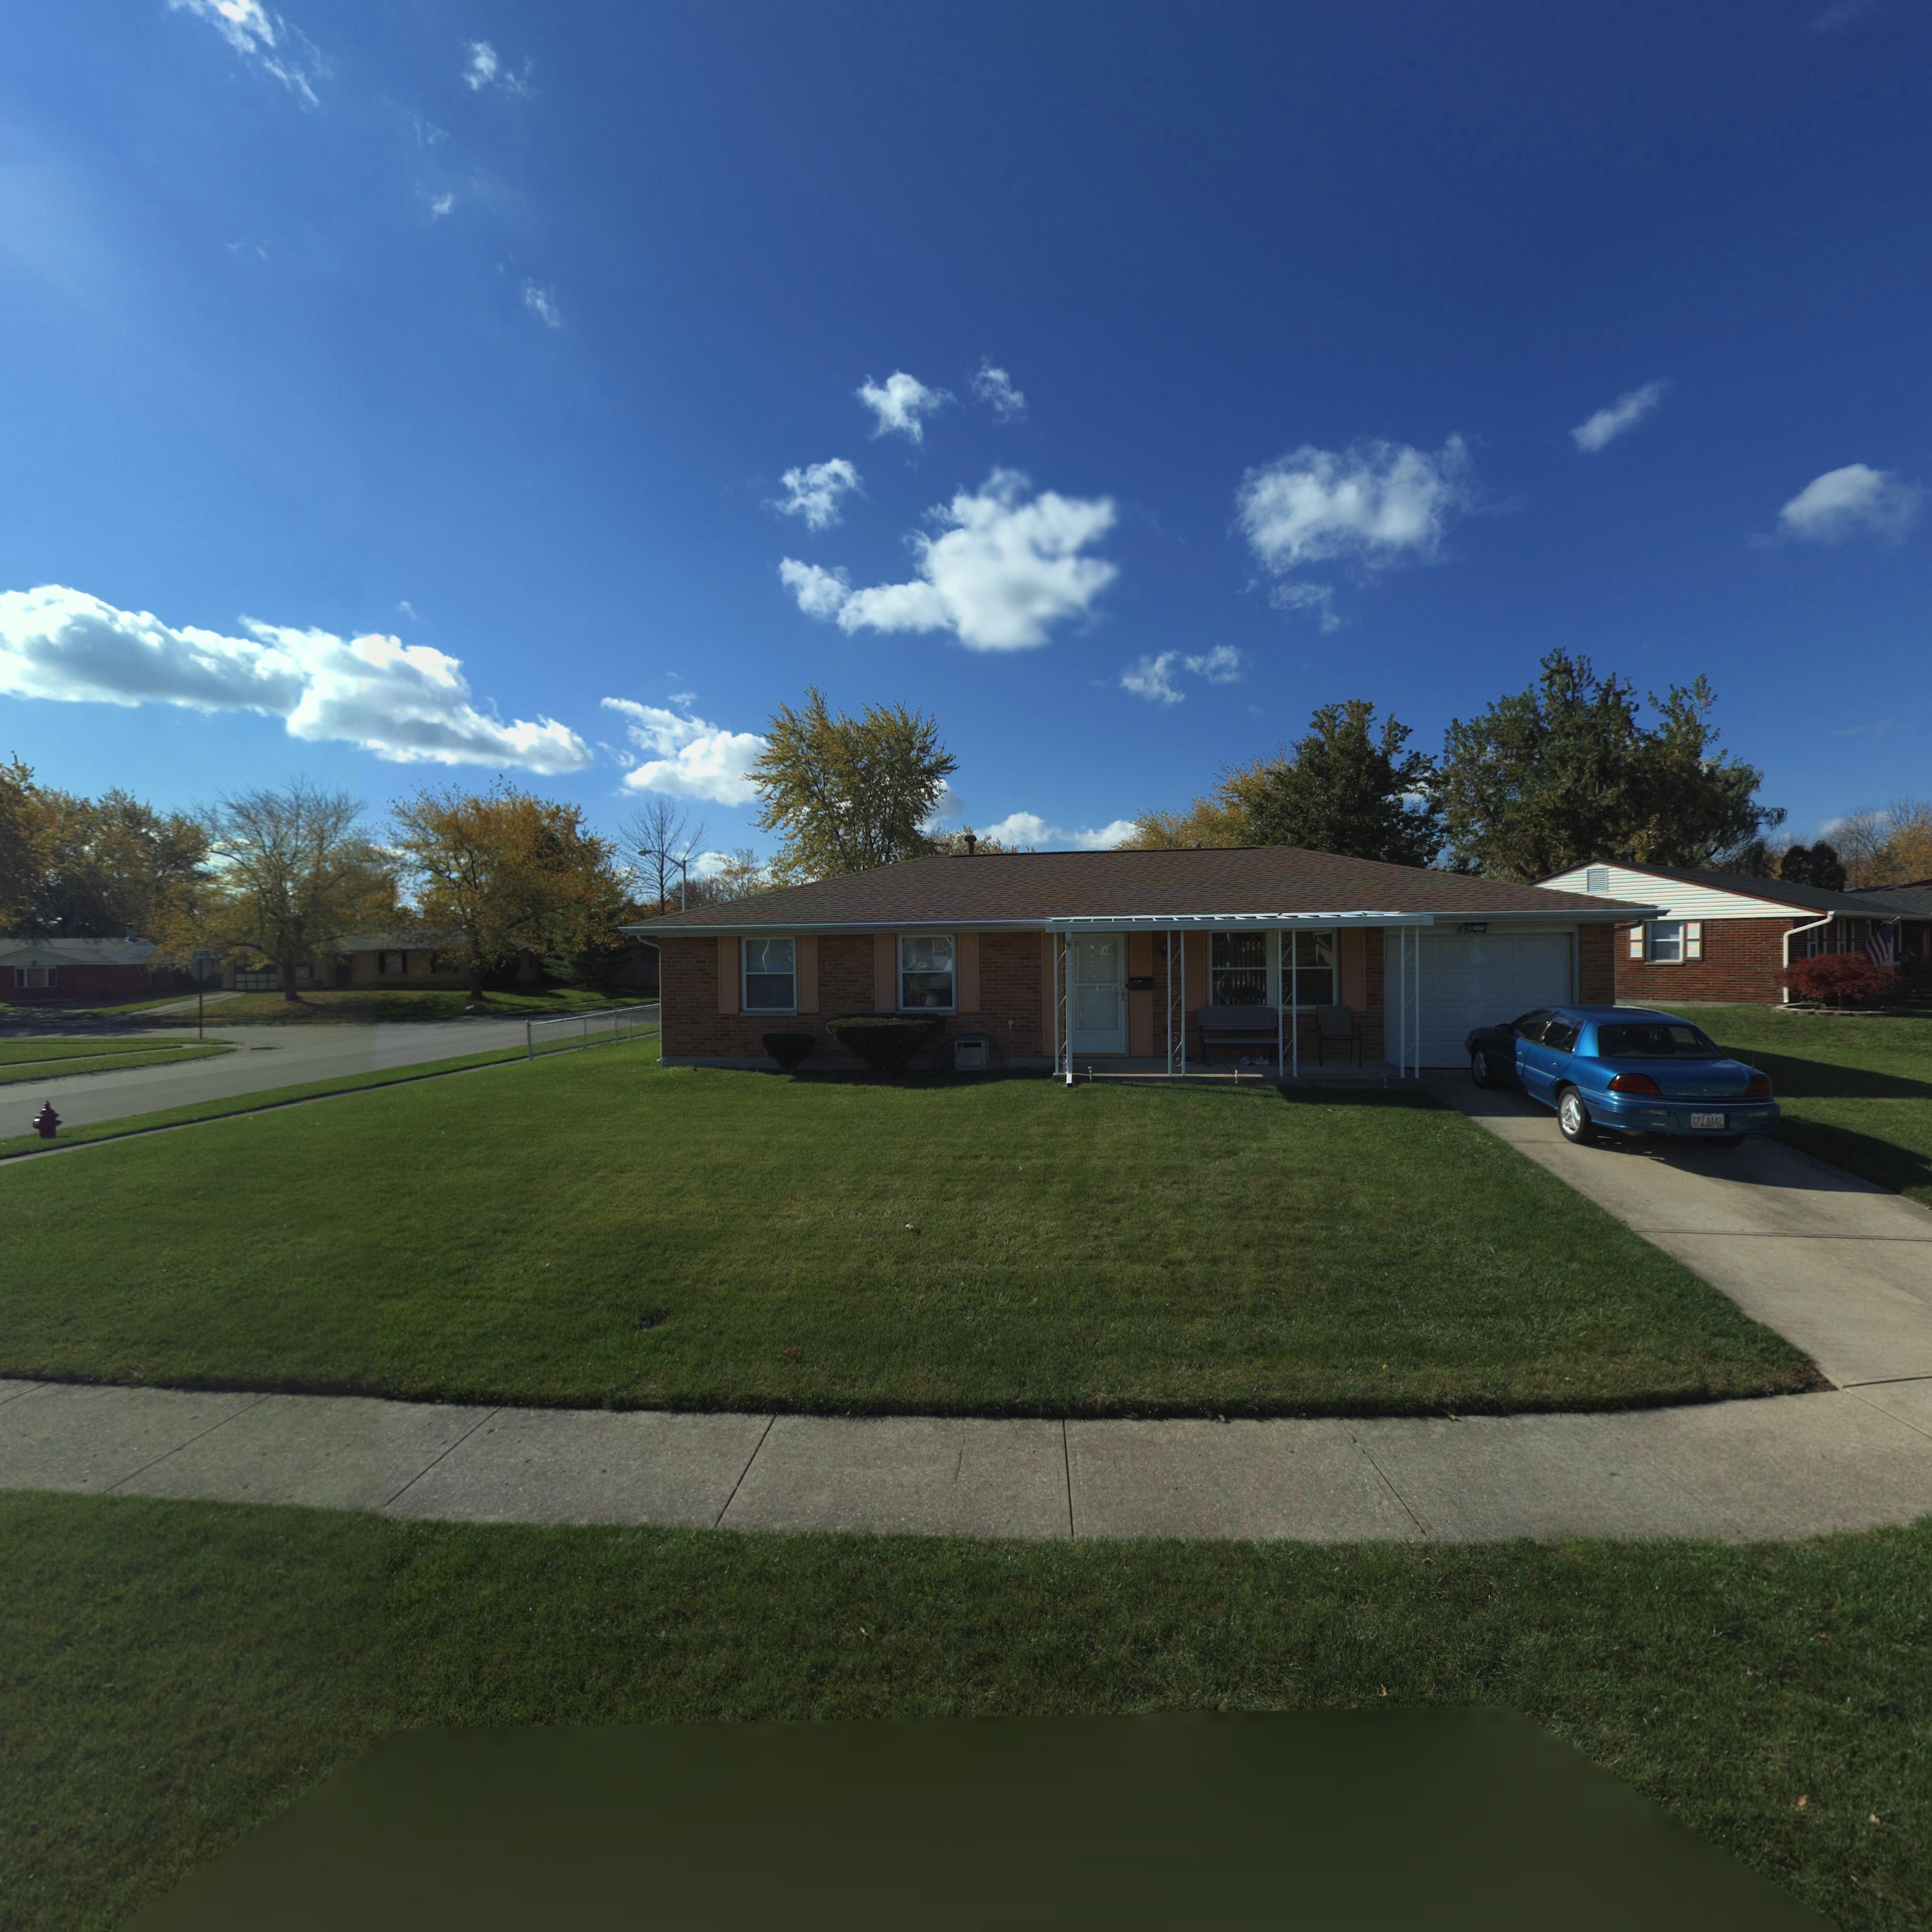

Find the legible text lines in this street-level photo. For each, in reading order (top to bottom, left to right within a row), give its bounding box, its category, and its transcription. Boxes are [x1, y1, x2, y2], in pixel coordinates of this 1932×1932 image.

[1456, 925, 1463, 935] StreetNumber: 6